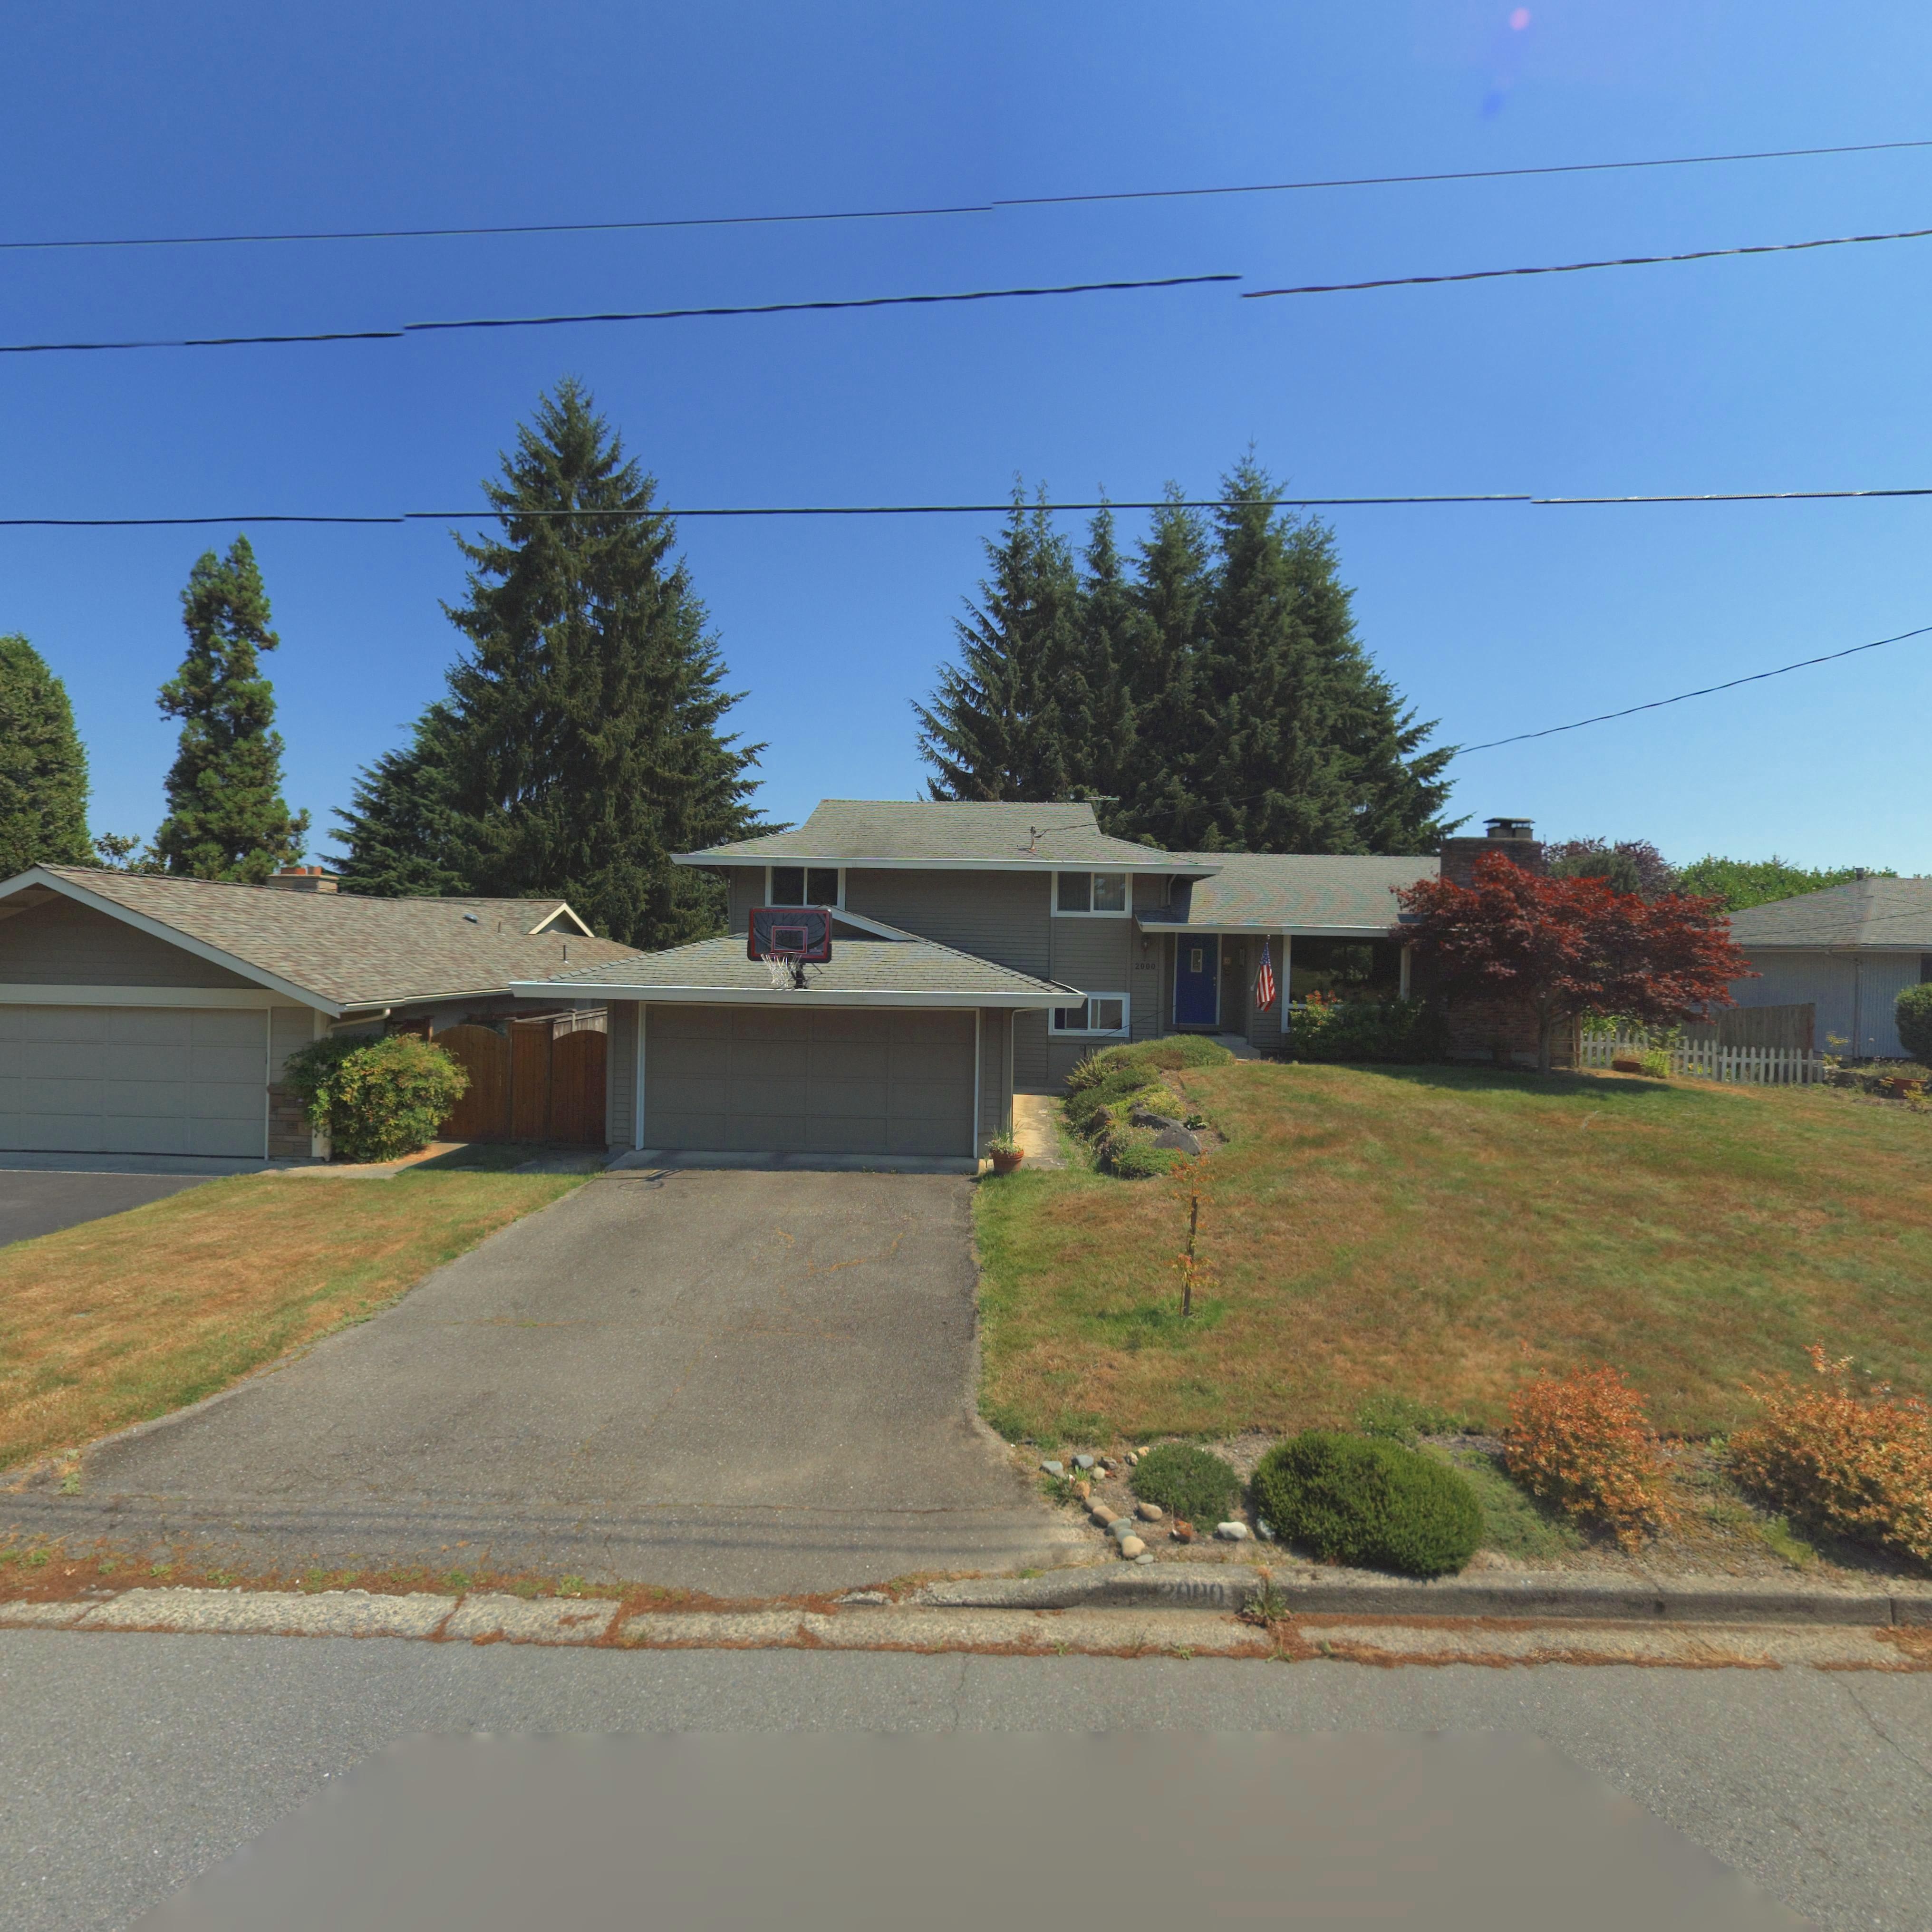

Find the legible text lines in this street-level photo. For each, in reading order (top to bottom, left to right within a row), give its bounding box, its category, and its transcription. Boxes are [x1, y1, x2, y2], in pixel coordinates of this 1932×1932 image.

[1134, 962, 1156, 970] StreetNumber: 2000